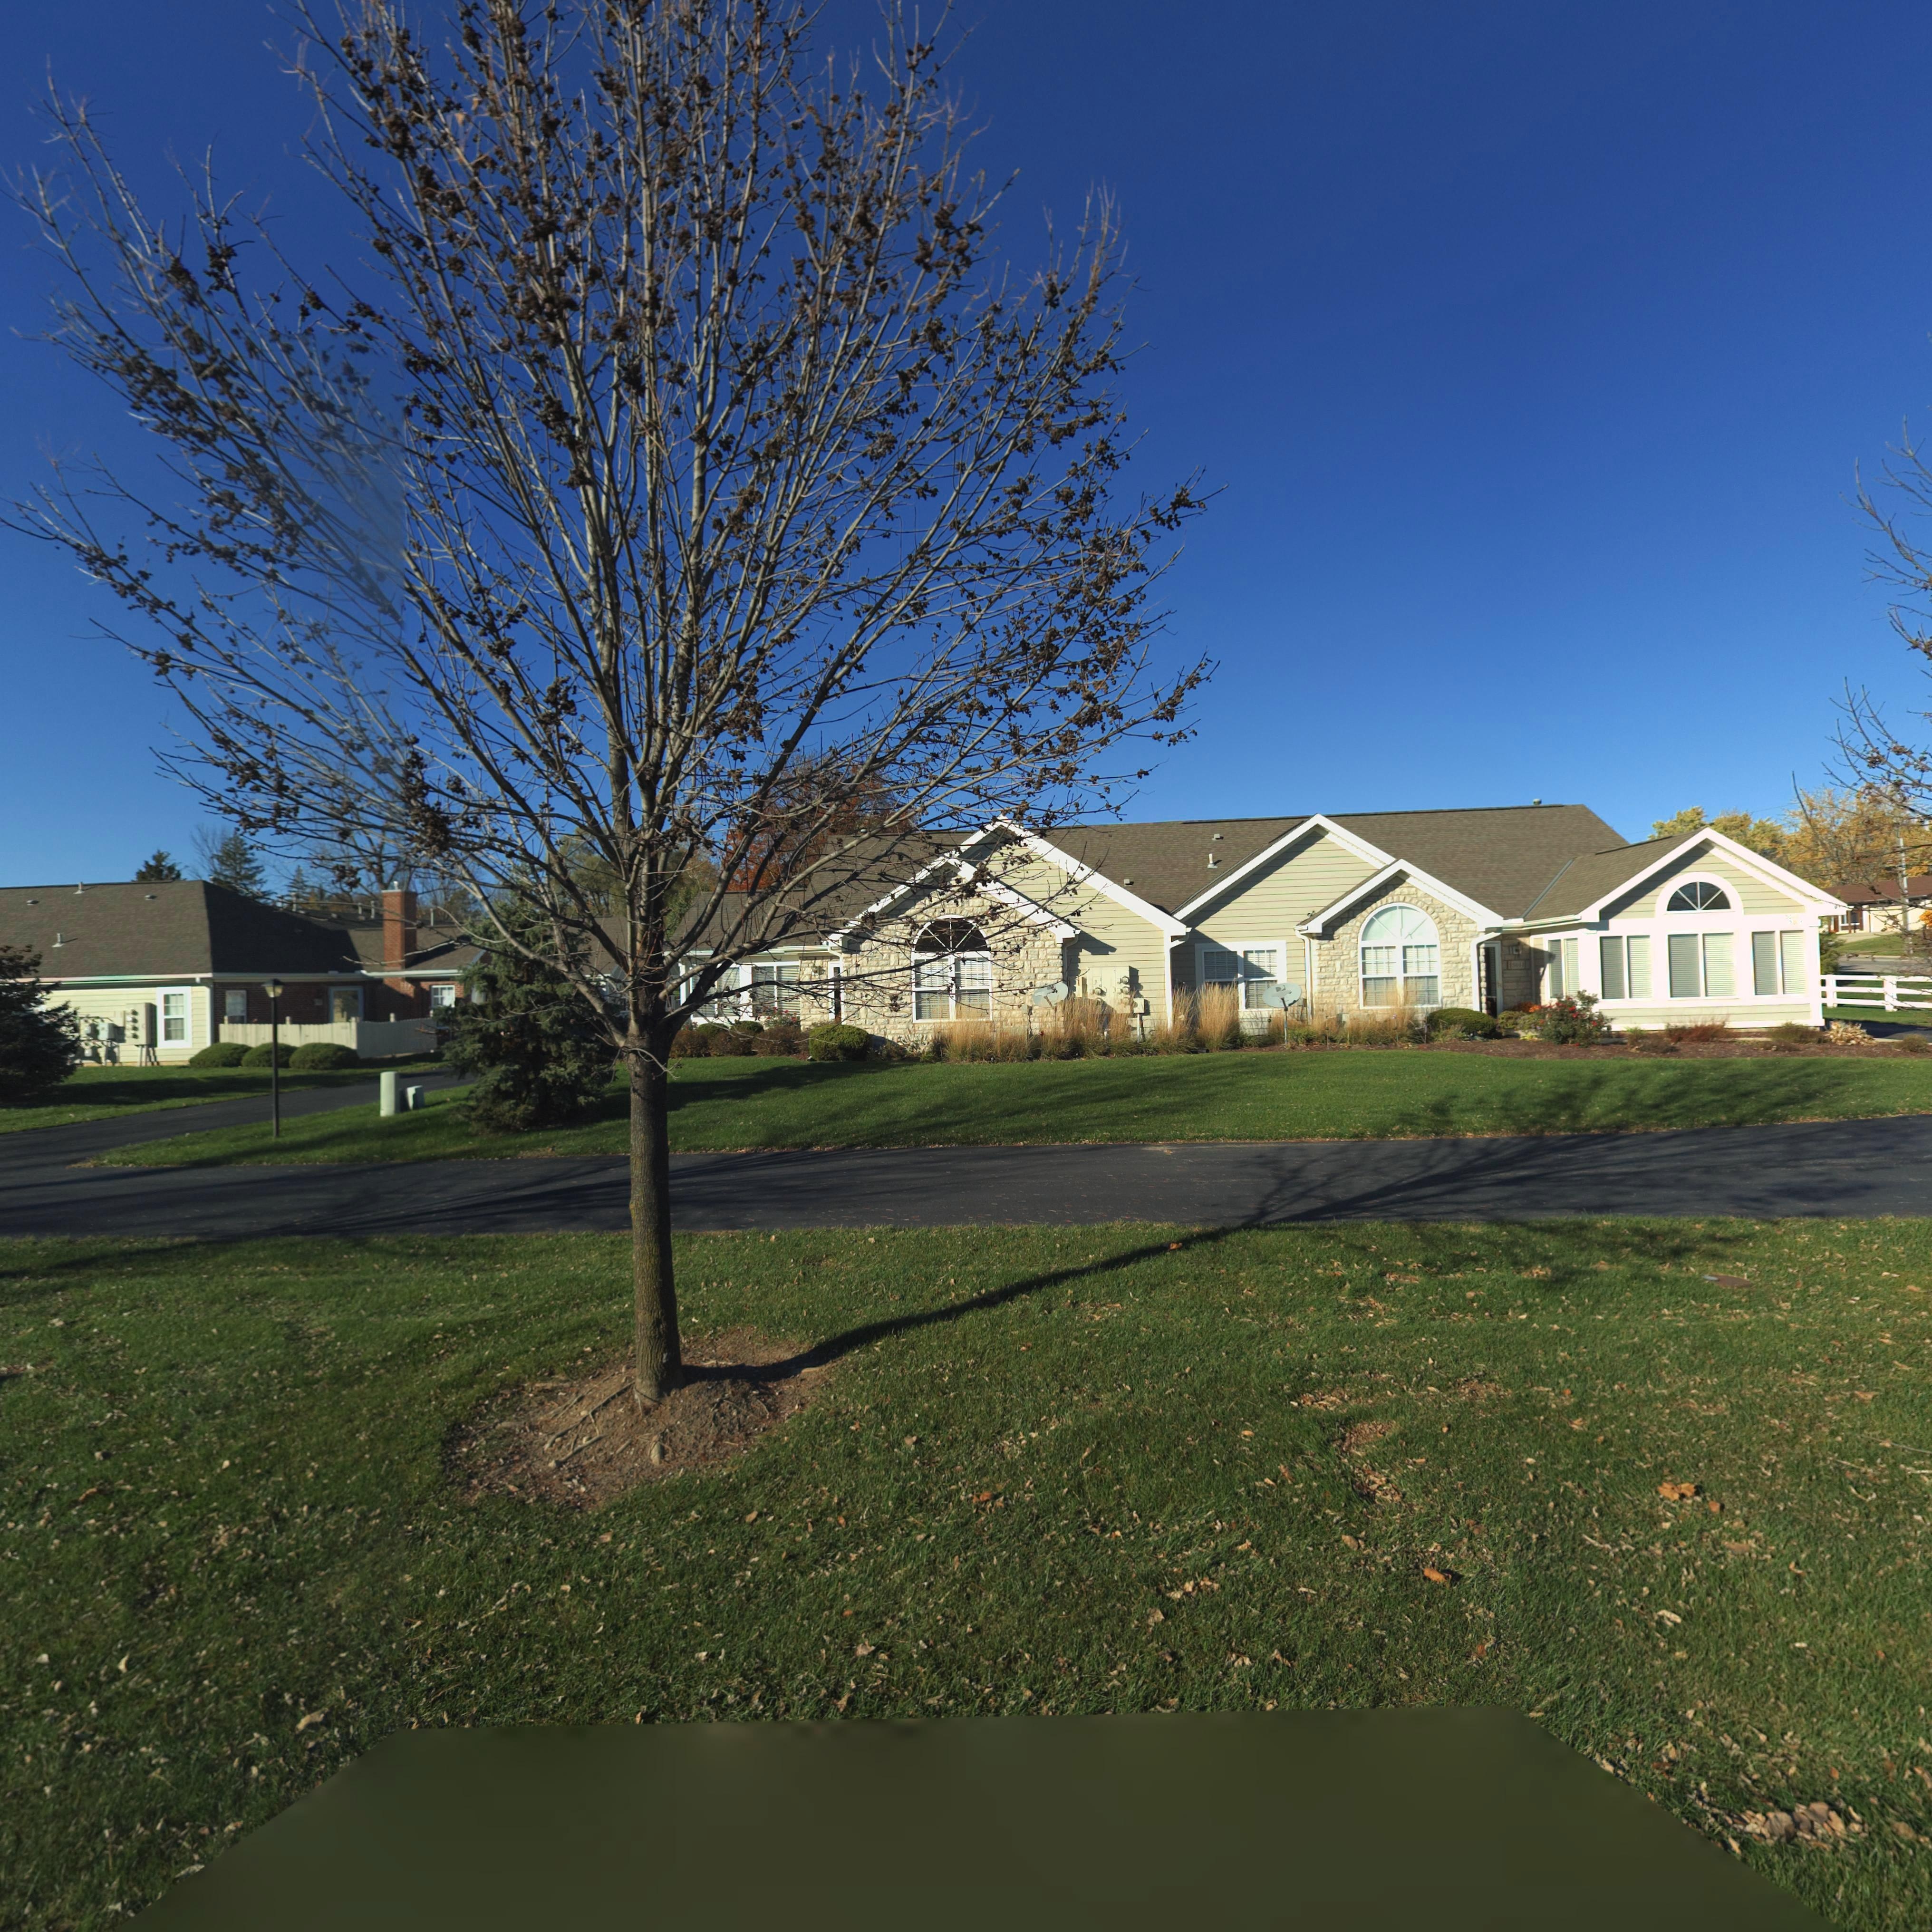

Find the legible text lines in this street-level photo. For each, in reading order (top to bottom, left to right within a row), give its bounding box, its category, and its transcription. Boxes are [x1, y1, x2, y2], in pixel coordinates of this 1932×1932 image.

[1511, 961, 1525, 969] StreetNumber: 5011